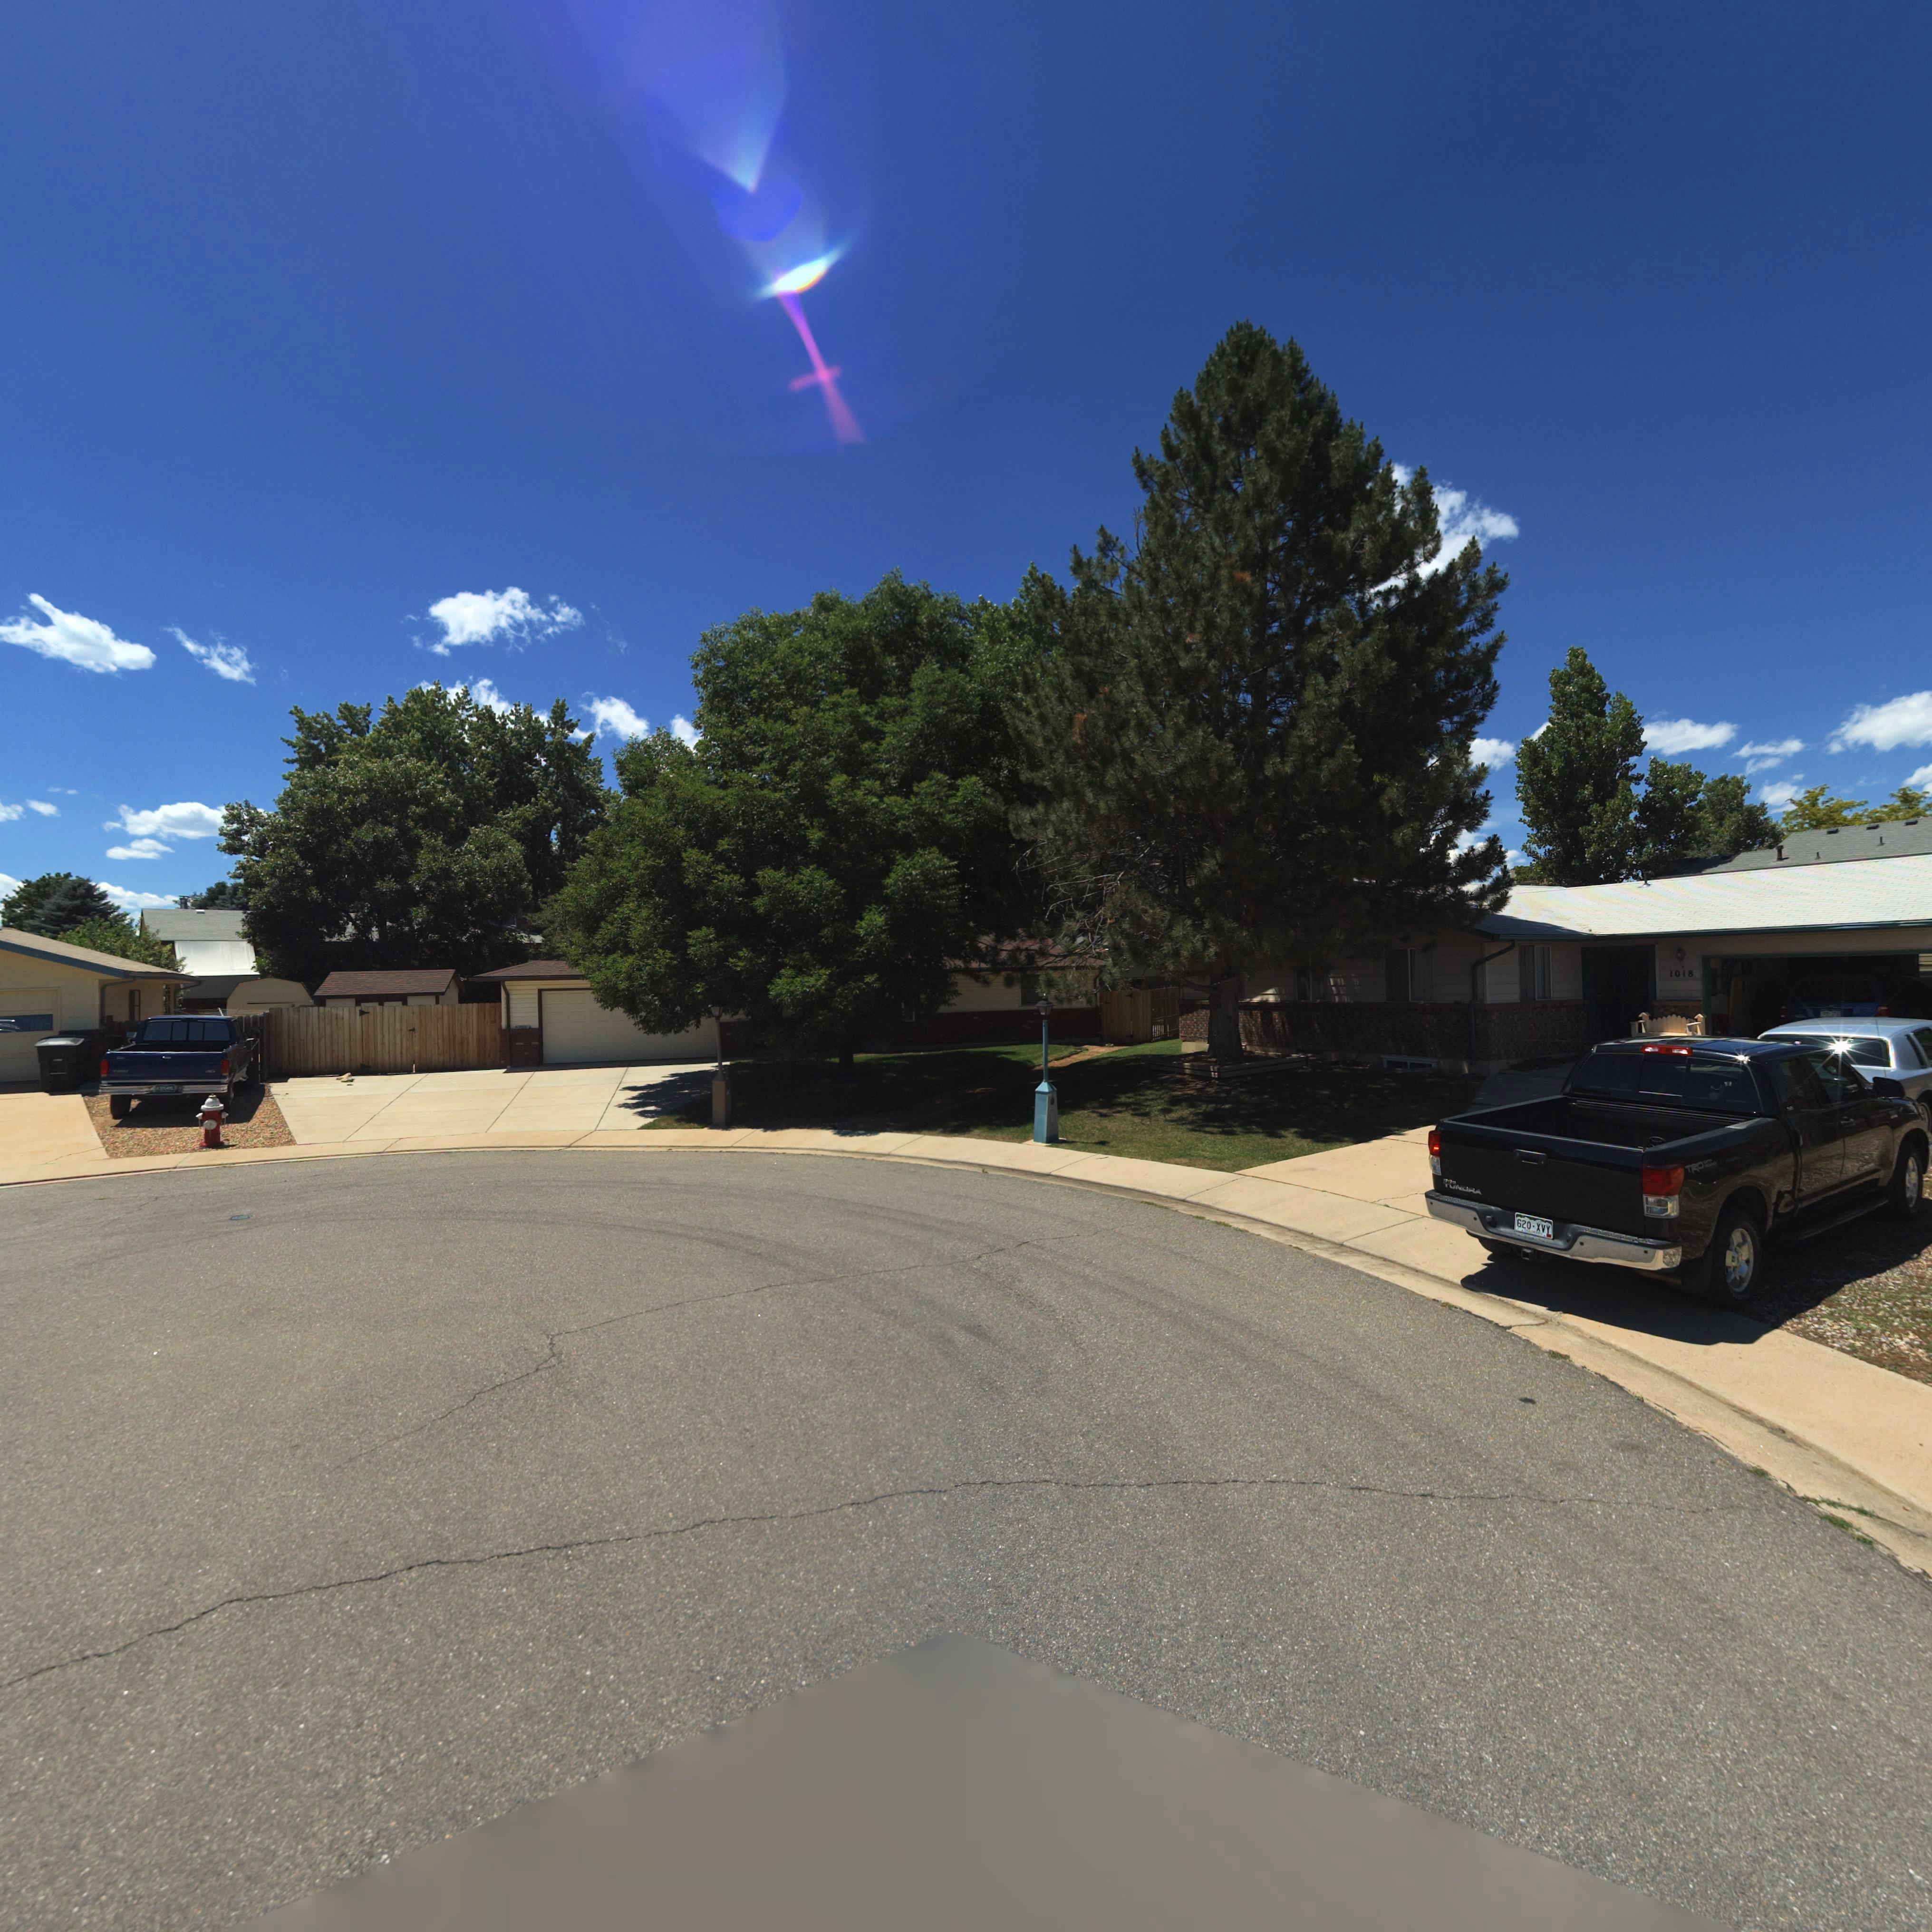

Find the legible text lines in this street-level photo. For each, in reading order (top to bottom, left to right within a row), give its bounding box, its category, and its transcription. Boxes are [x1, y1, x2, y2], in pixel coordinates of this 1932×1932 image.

[1669, 970, 1693, 977] StreetNumber: 1018